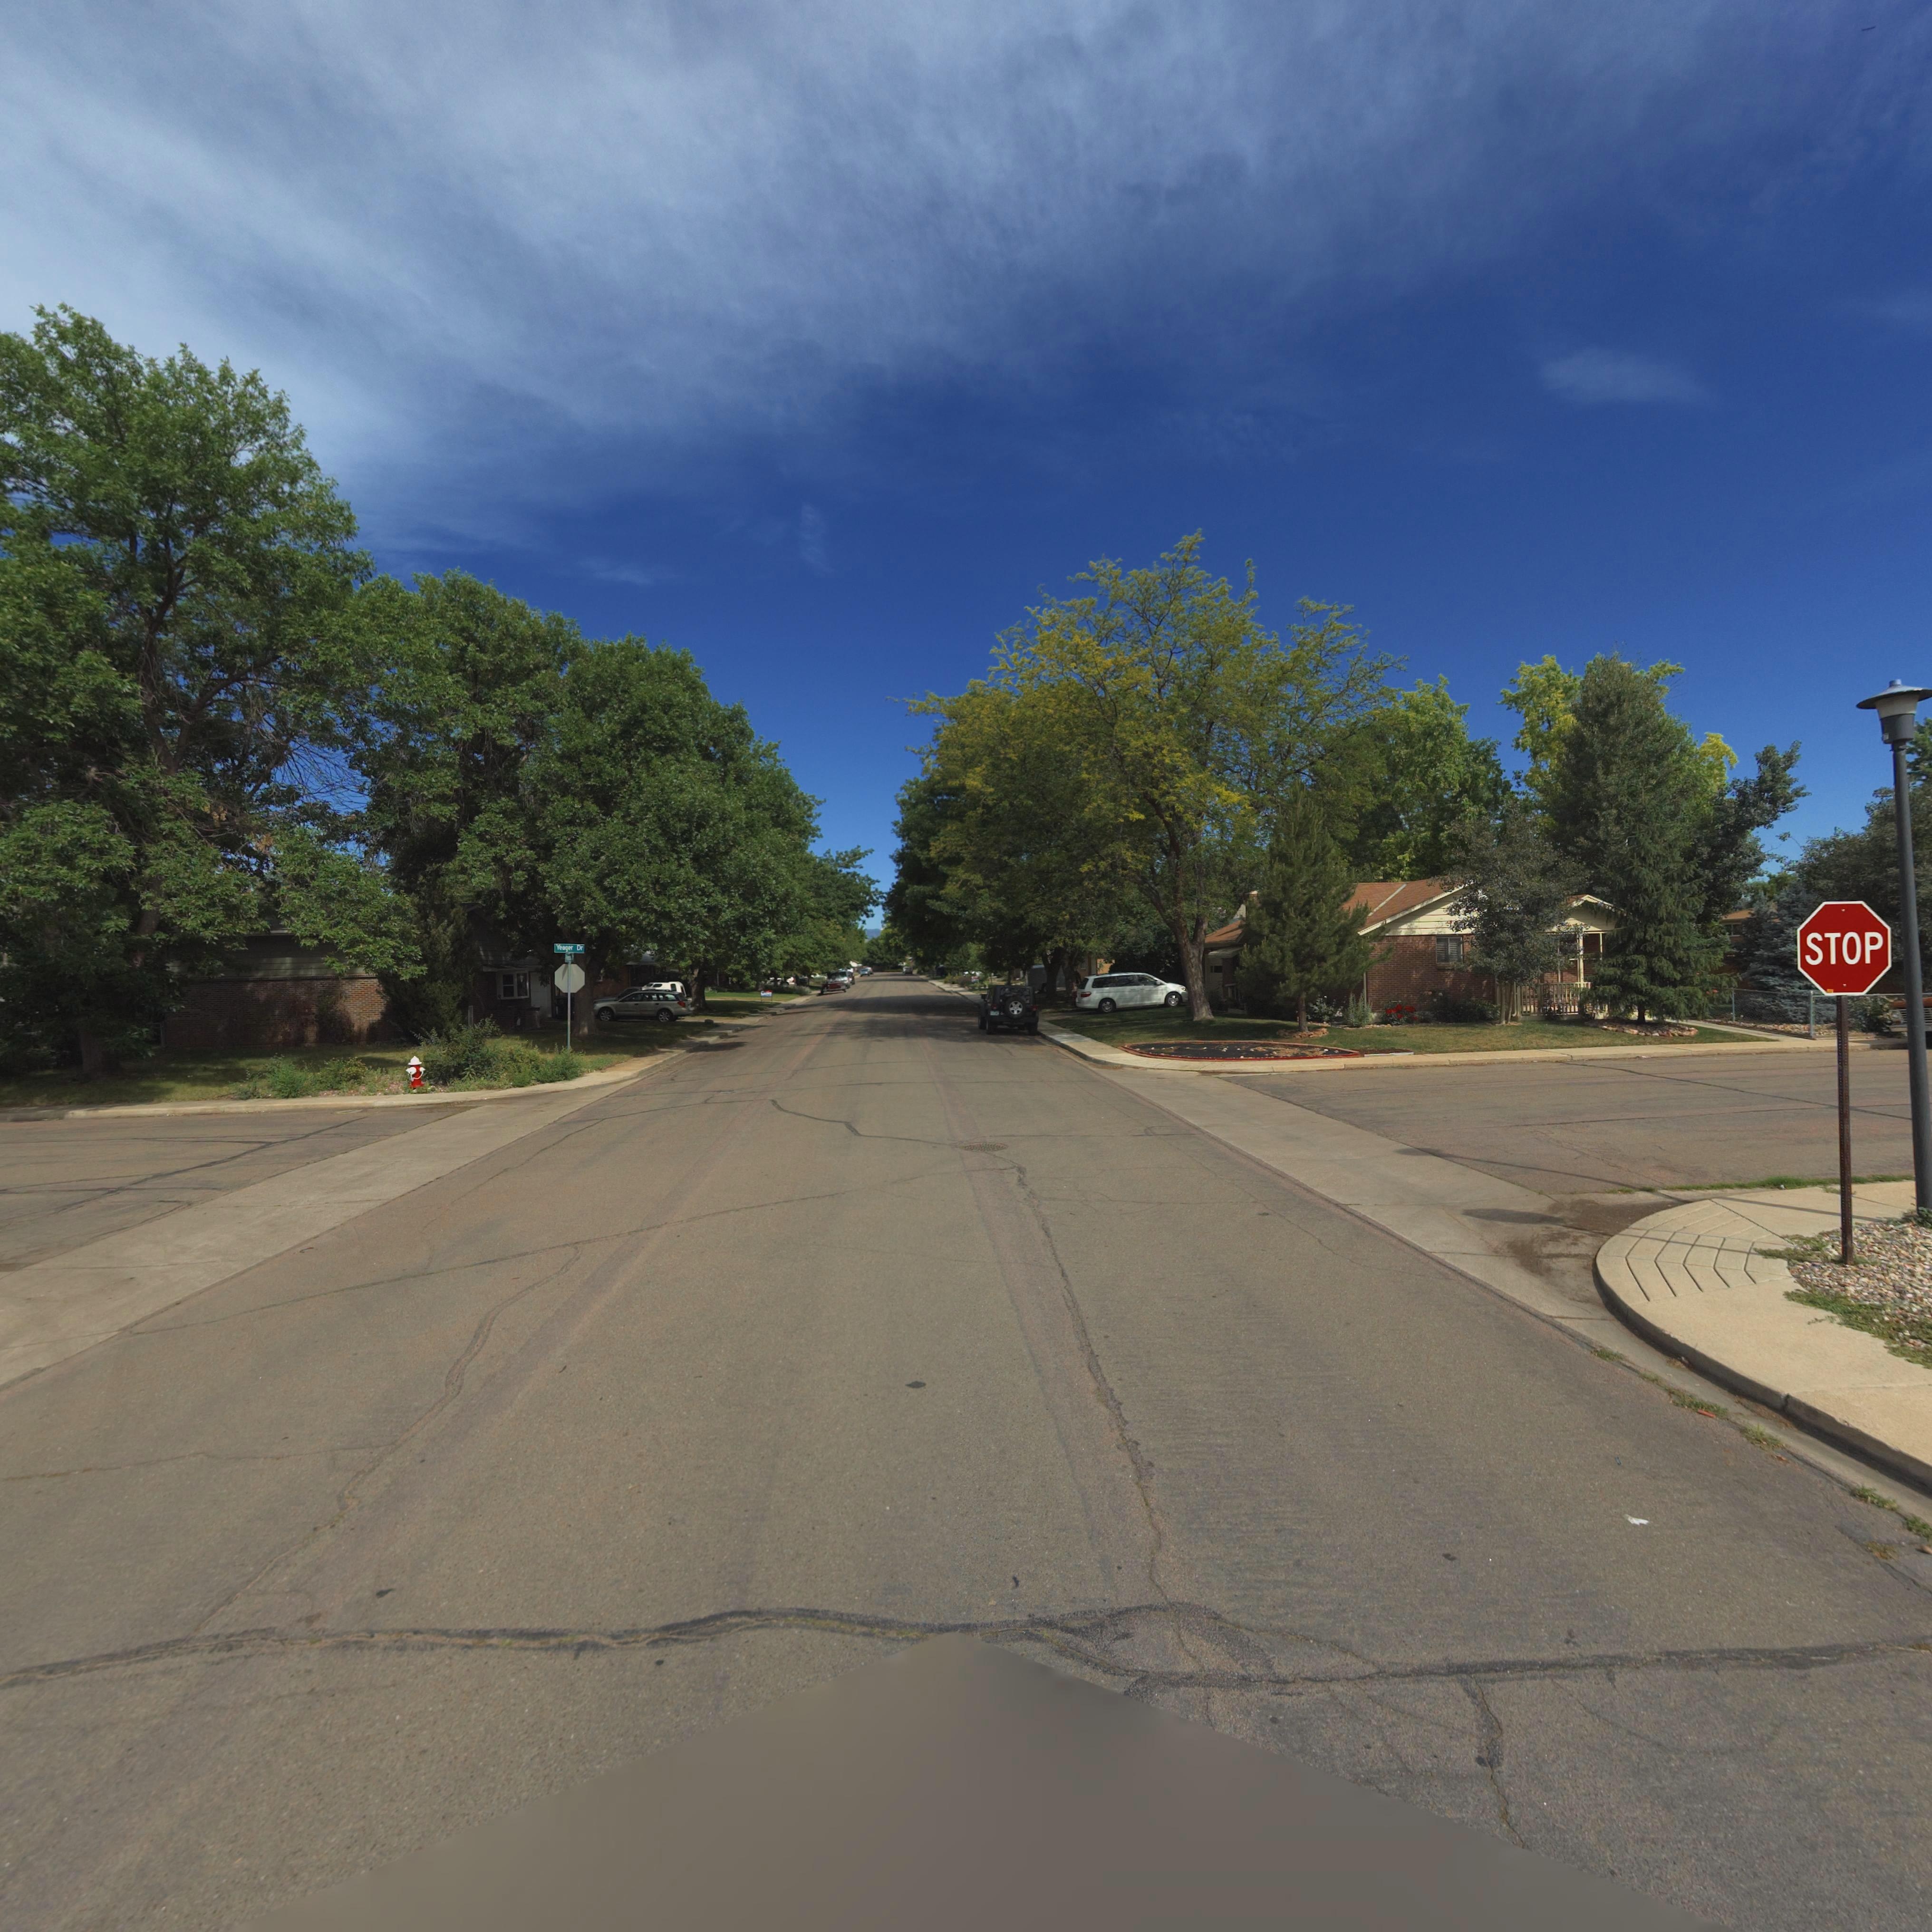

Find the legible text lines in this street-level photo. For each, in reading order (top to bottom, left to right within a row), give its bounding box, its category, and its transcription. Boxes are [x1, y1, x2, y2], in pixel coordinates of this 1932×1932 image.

[555, 944, 583, 952] StreetName: Yeager Dr